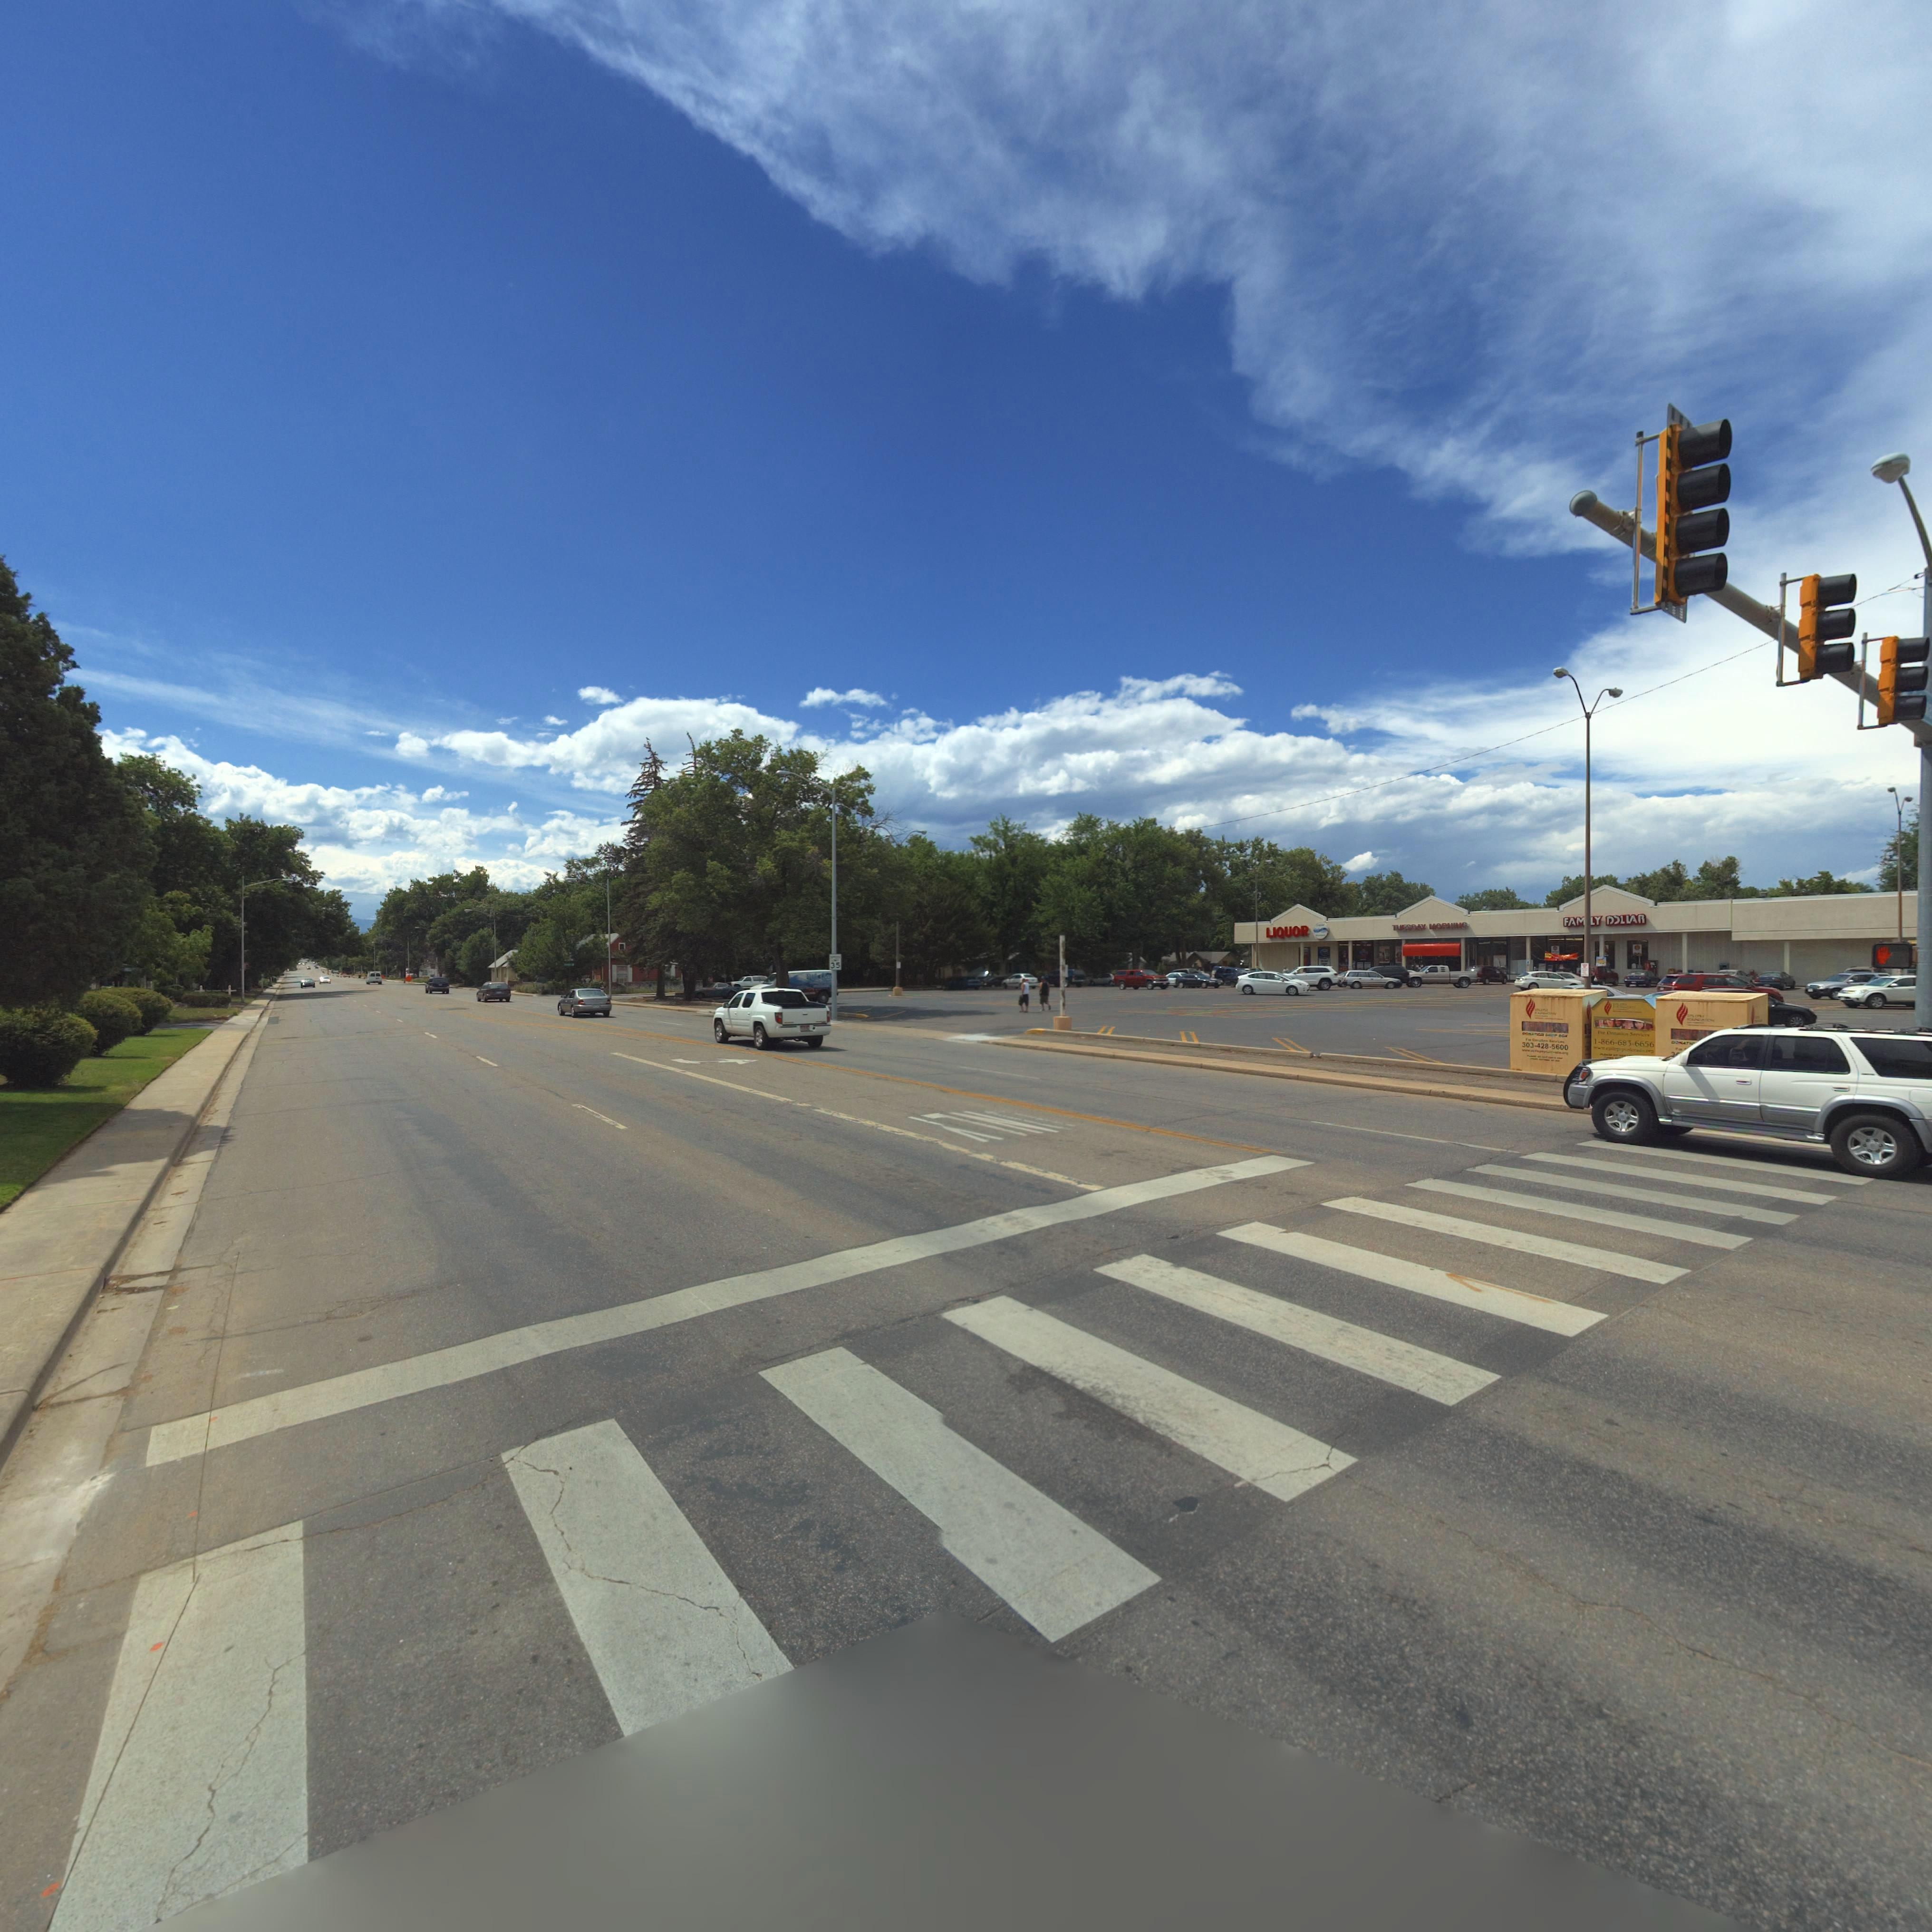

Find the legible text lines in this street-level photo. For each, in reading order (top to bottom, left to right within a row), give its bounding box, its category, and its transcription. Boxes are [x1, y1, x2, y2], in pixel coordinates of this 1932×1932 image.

[1392, 922, 1466, 930] BusinessName: TUESDAY MORNING
[1564, 914, 1644, 926] BusinessName: FAMILY DOLLAR